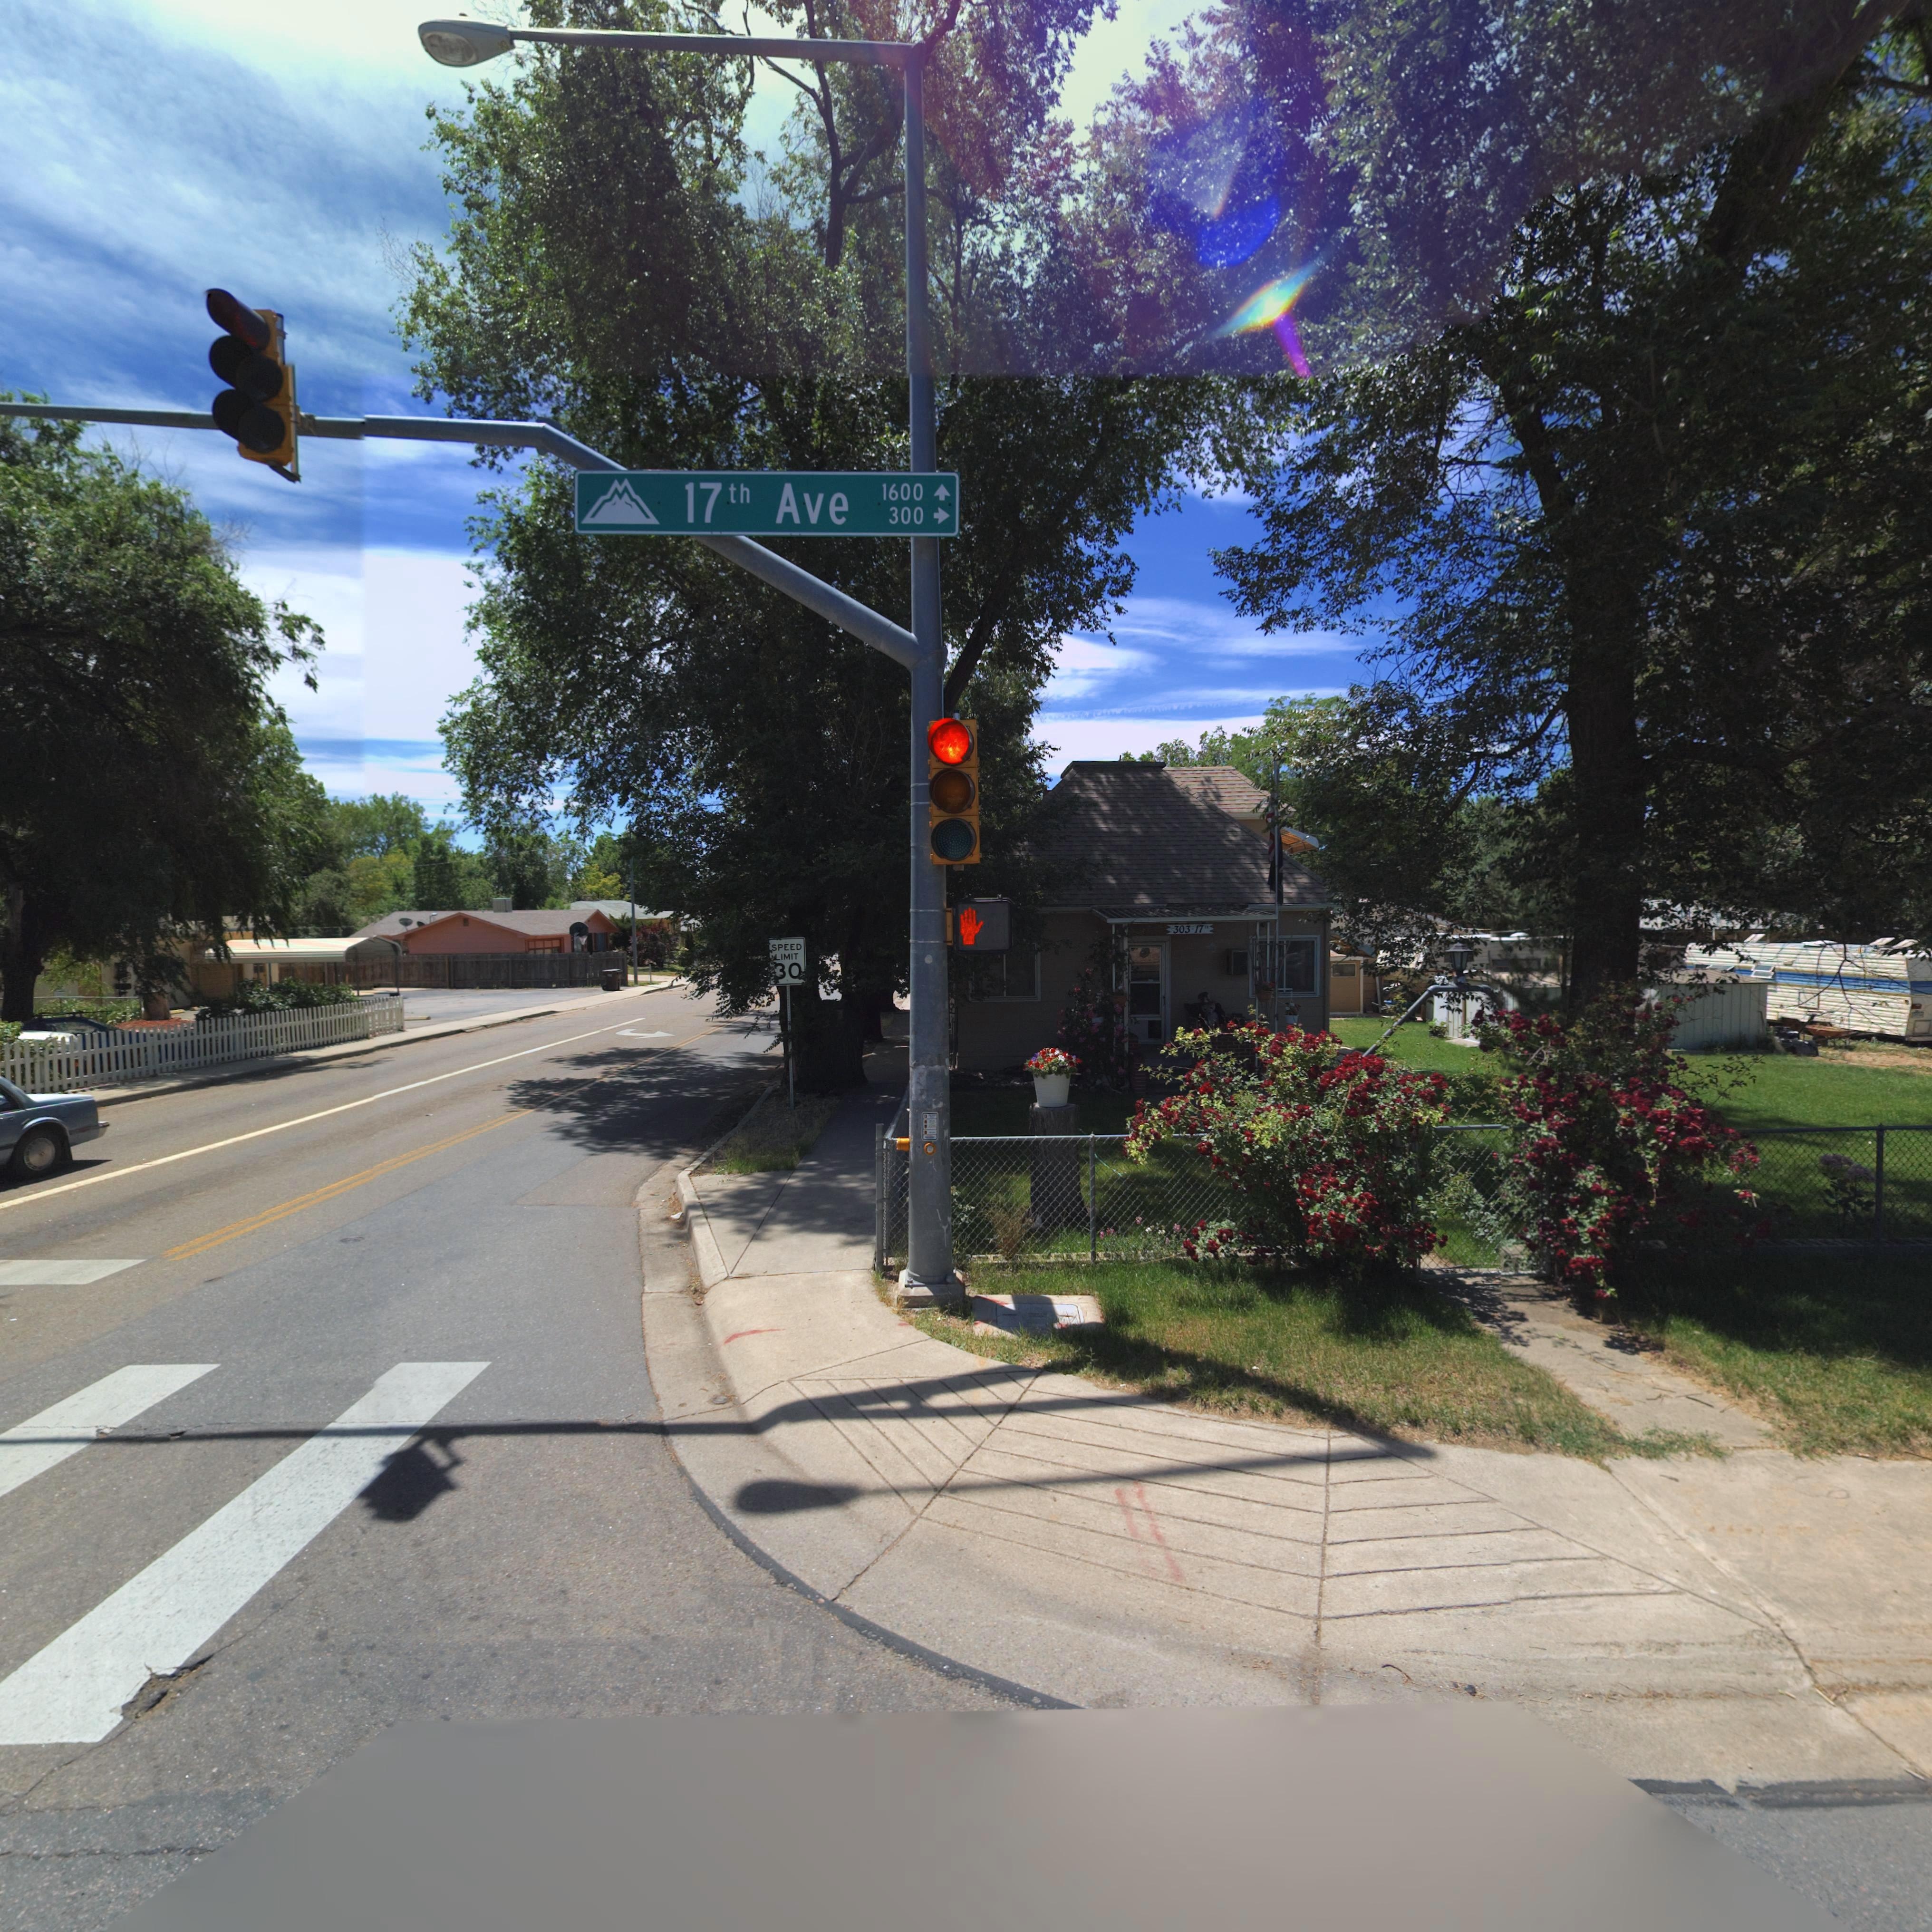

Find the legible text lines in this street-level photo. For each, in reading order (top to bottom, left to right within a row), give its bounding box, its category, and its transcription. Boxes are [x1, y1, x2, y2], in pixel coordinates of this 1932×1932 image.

[881, 482, 924, 501] StreetNumberRange: 1600
[683, 481, 850, 526] StreetName: 17th Ave
[888, 506, 952, 525] StreetNumberRange: 300->
[1172, 925, 1190, 934] StreetNumber: 303
[1194, 925, 1208, 933] StreetName: 17**